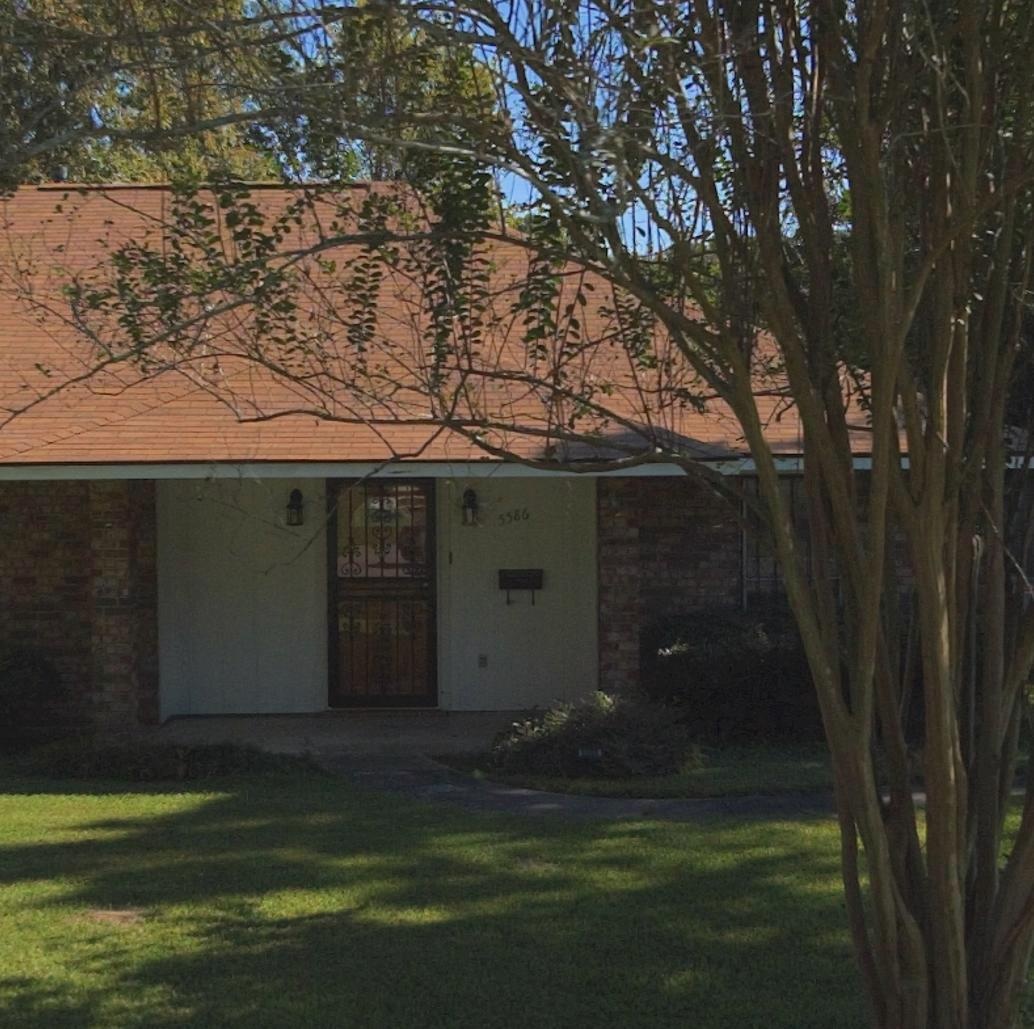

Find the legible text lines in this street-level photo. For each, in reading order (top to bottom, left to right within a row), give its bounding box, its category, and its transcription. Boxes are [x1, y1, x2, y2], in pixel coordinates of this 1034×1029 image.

[497, 505, 531, 529] StreetNumber: 5586